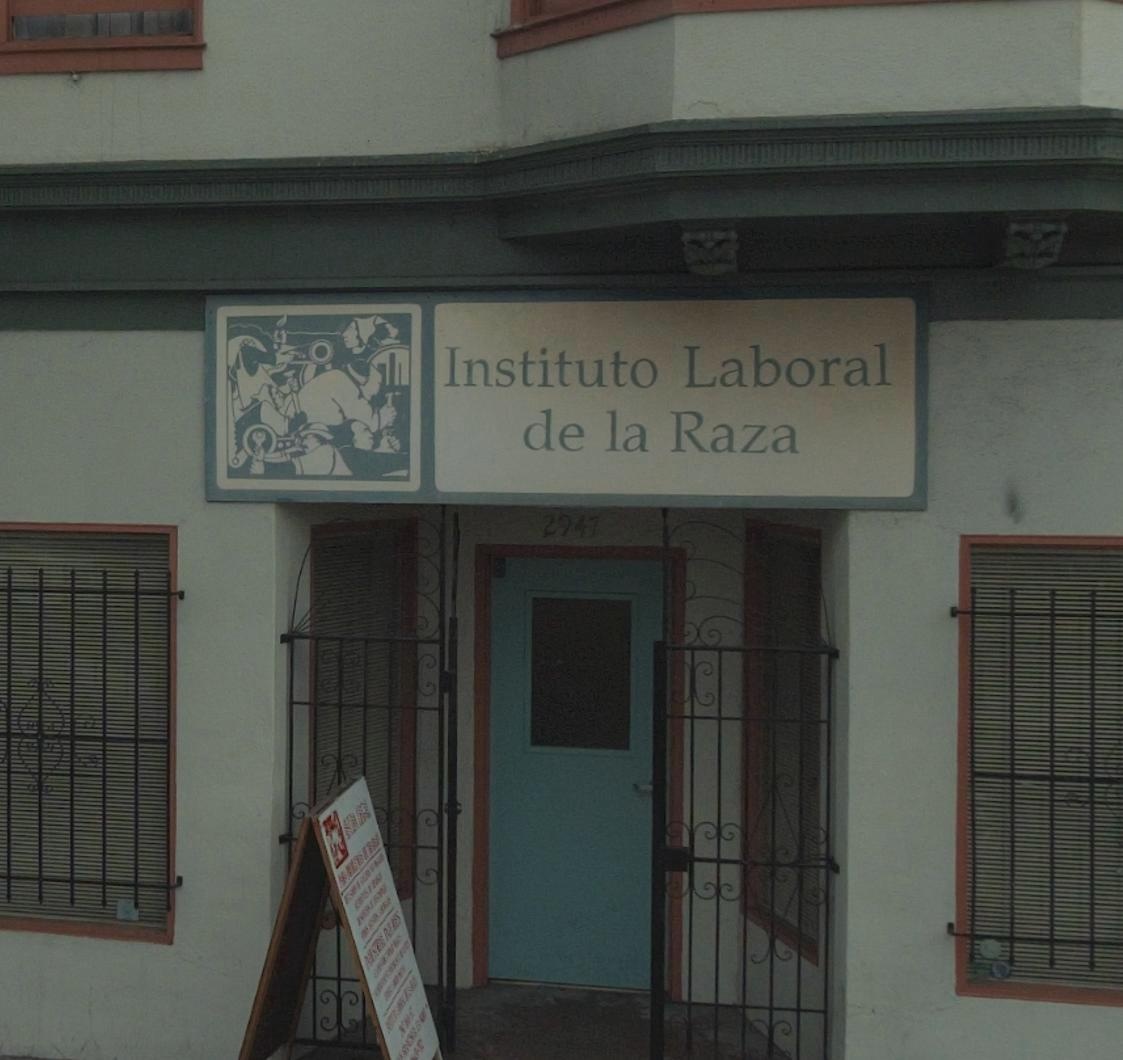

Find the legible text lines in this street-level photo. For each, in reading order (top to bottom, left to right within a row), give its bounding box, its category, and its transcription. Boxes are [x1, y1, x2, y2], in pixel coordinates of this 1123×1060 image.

[441, 342, 895, 389] BusinessName: Instituto Laboral
[521, 406, 802, 456] BusinessName: de la Raza
[541, 512, 600, 540] StreetNumber: 2947